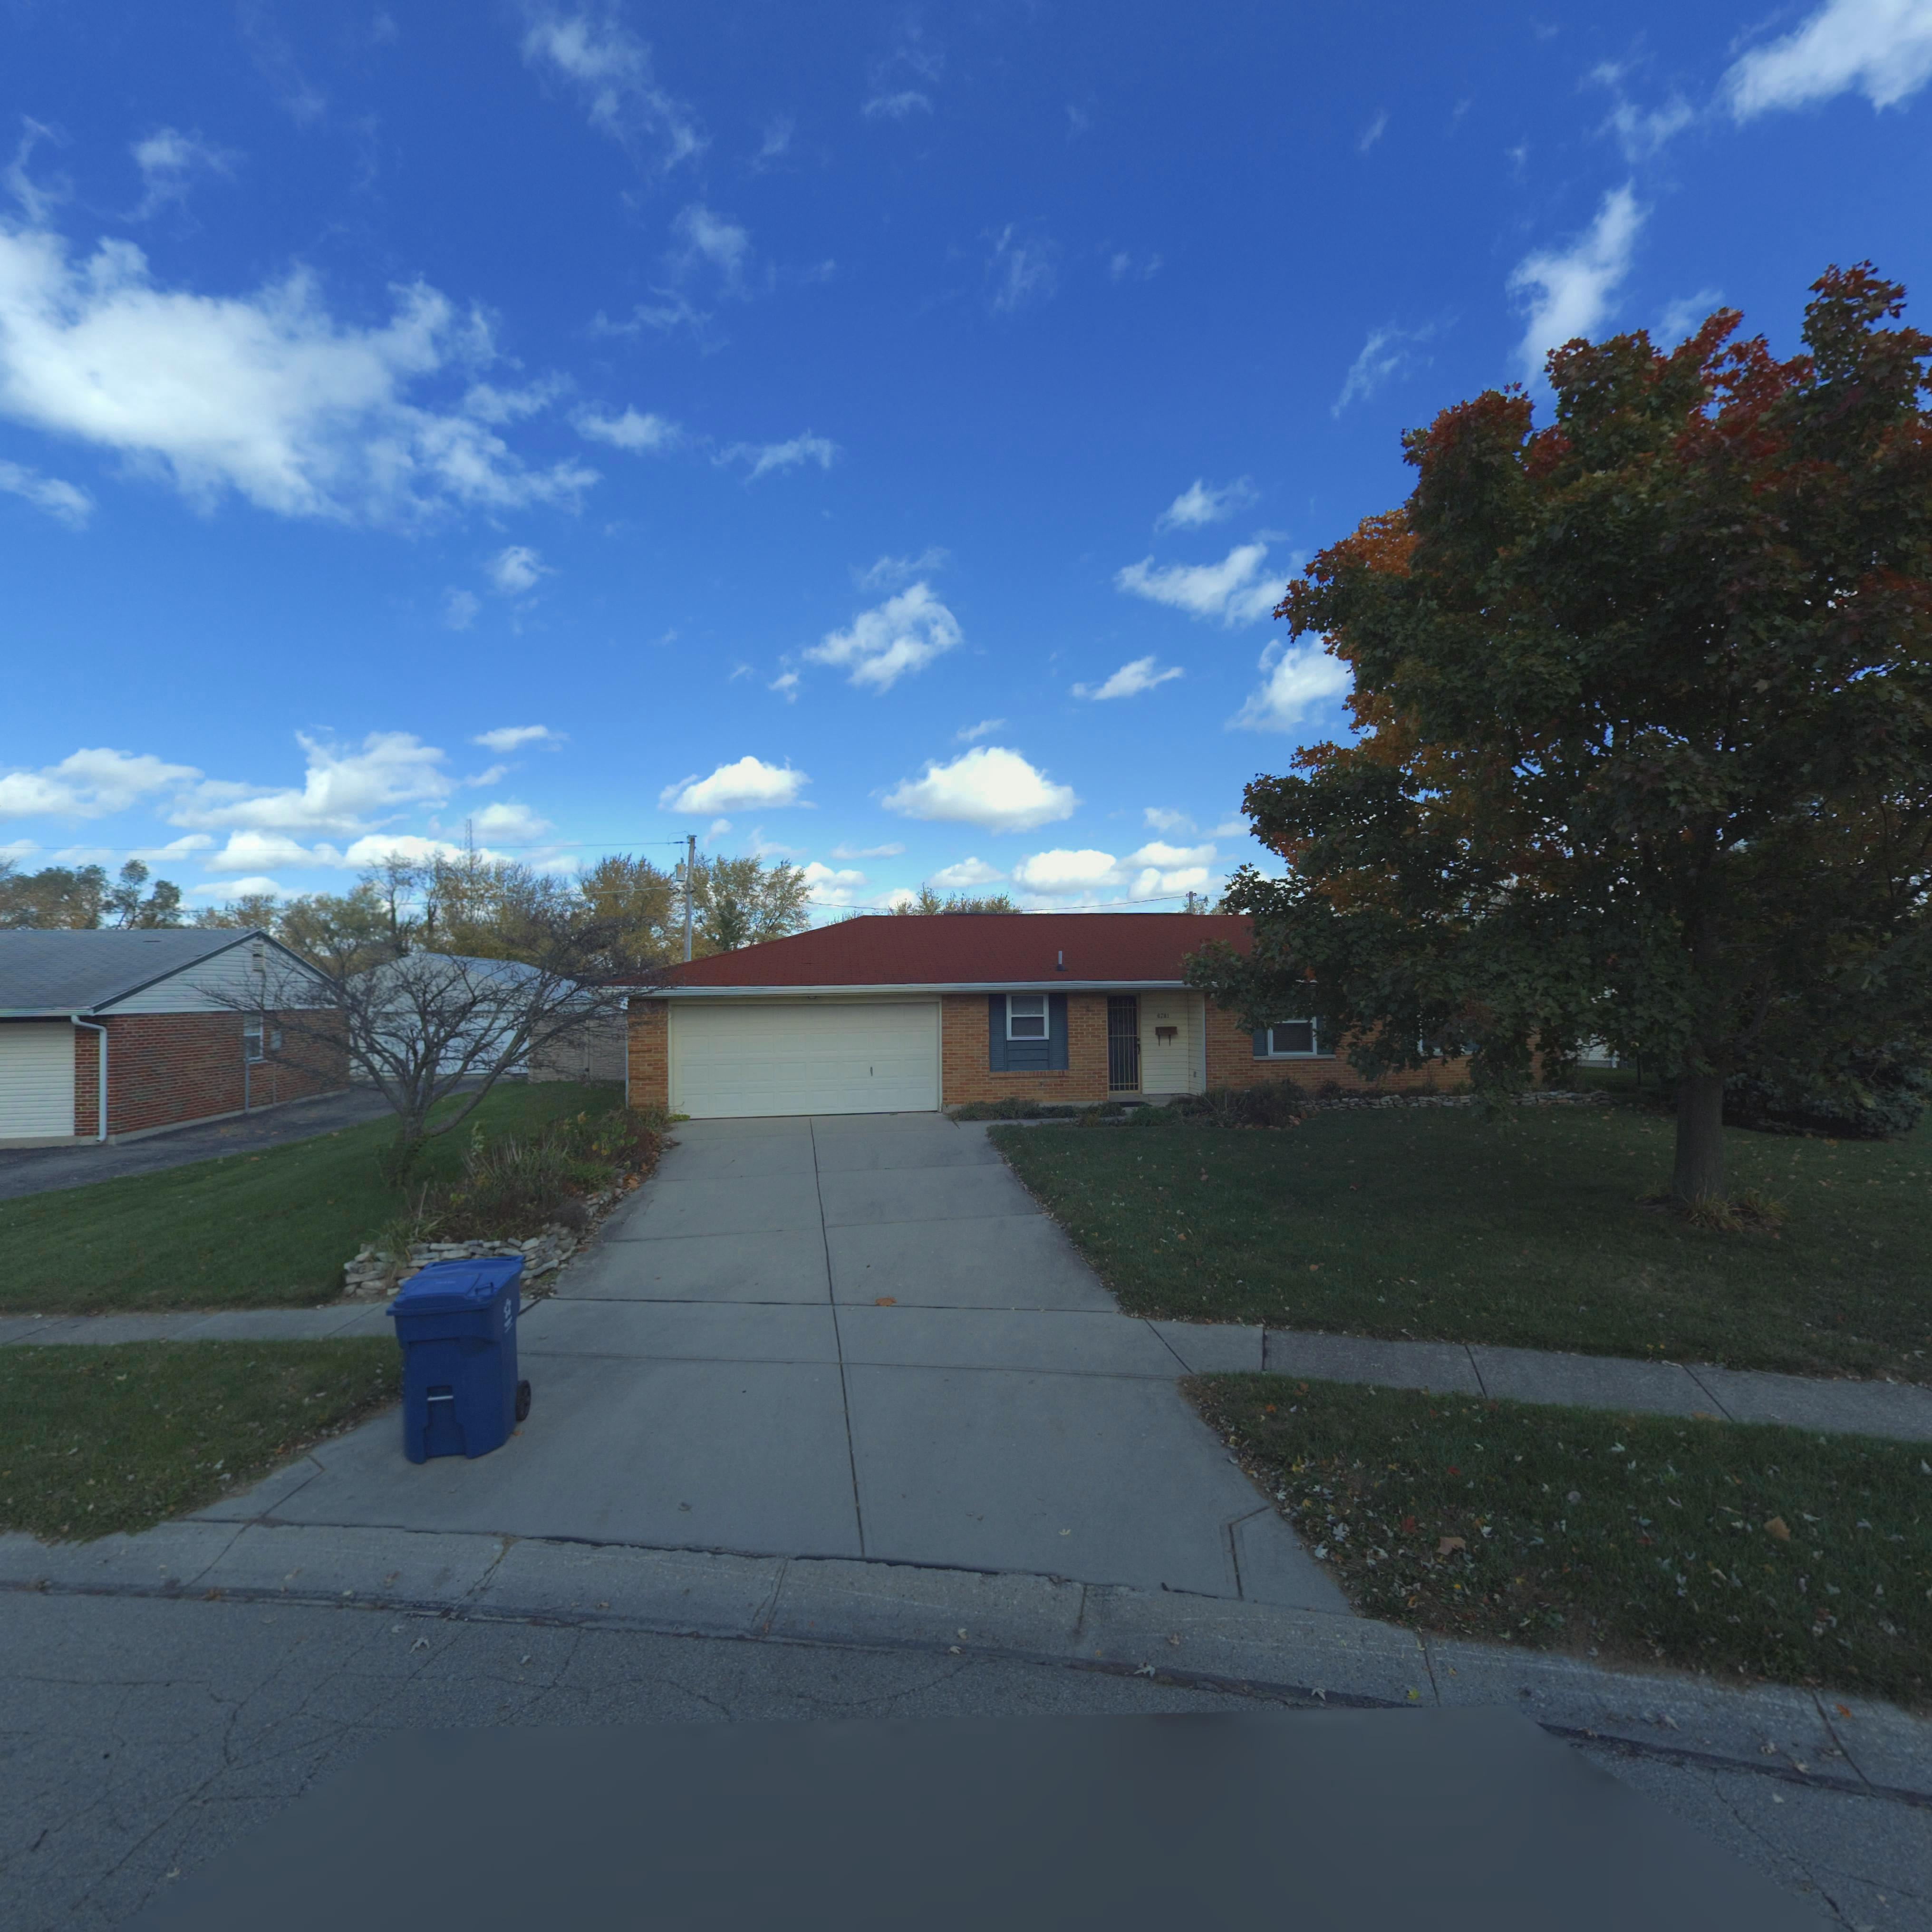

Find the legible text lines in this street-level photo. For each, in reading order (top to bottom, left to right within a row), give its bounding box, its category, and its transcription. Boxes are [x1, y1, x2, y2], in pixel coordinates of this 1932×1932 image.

[1157, 1013, 1169, 1019] StreetNumber: 6781